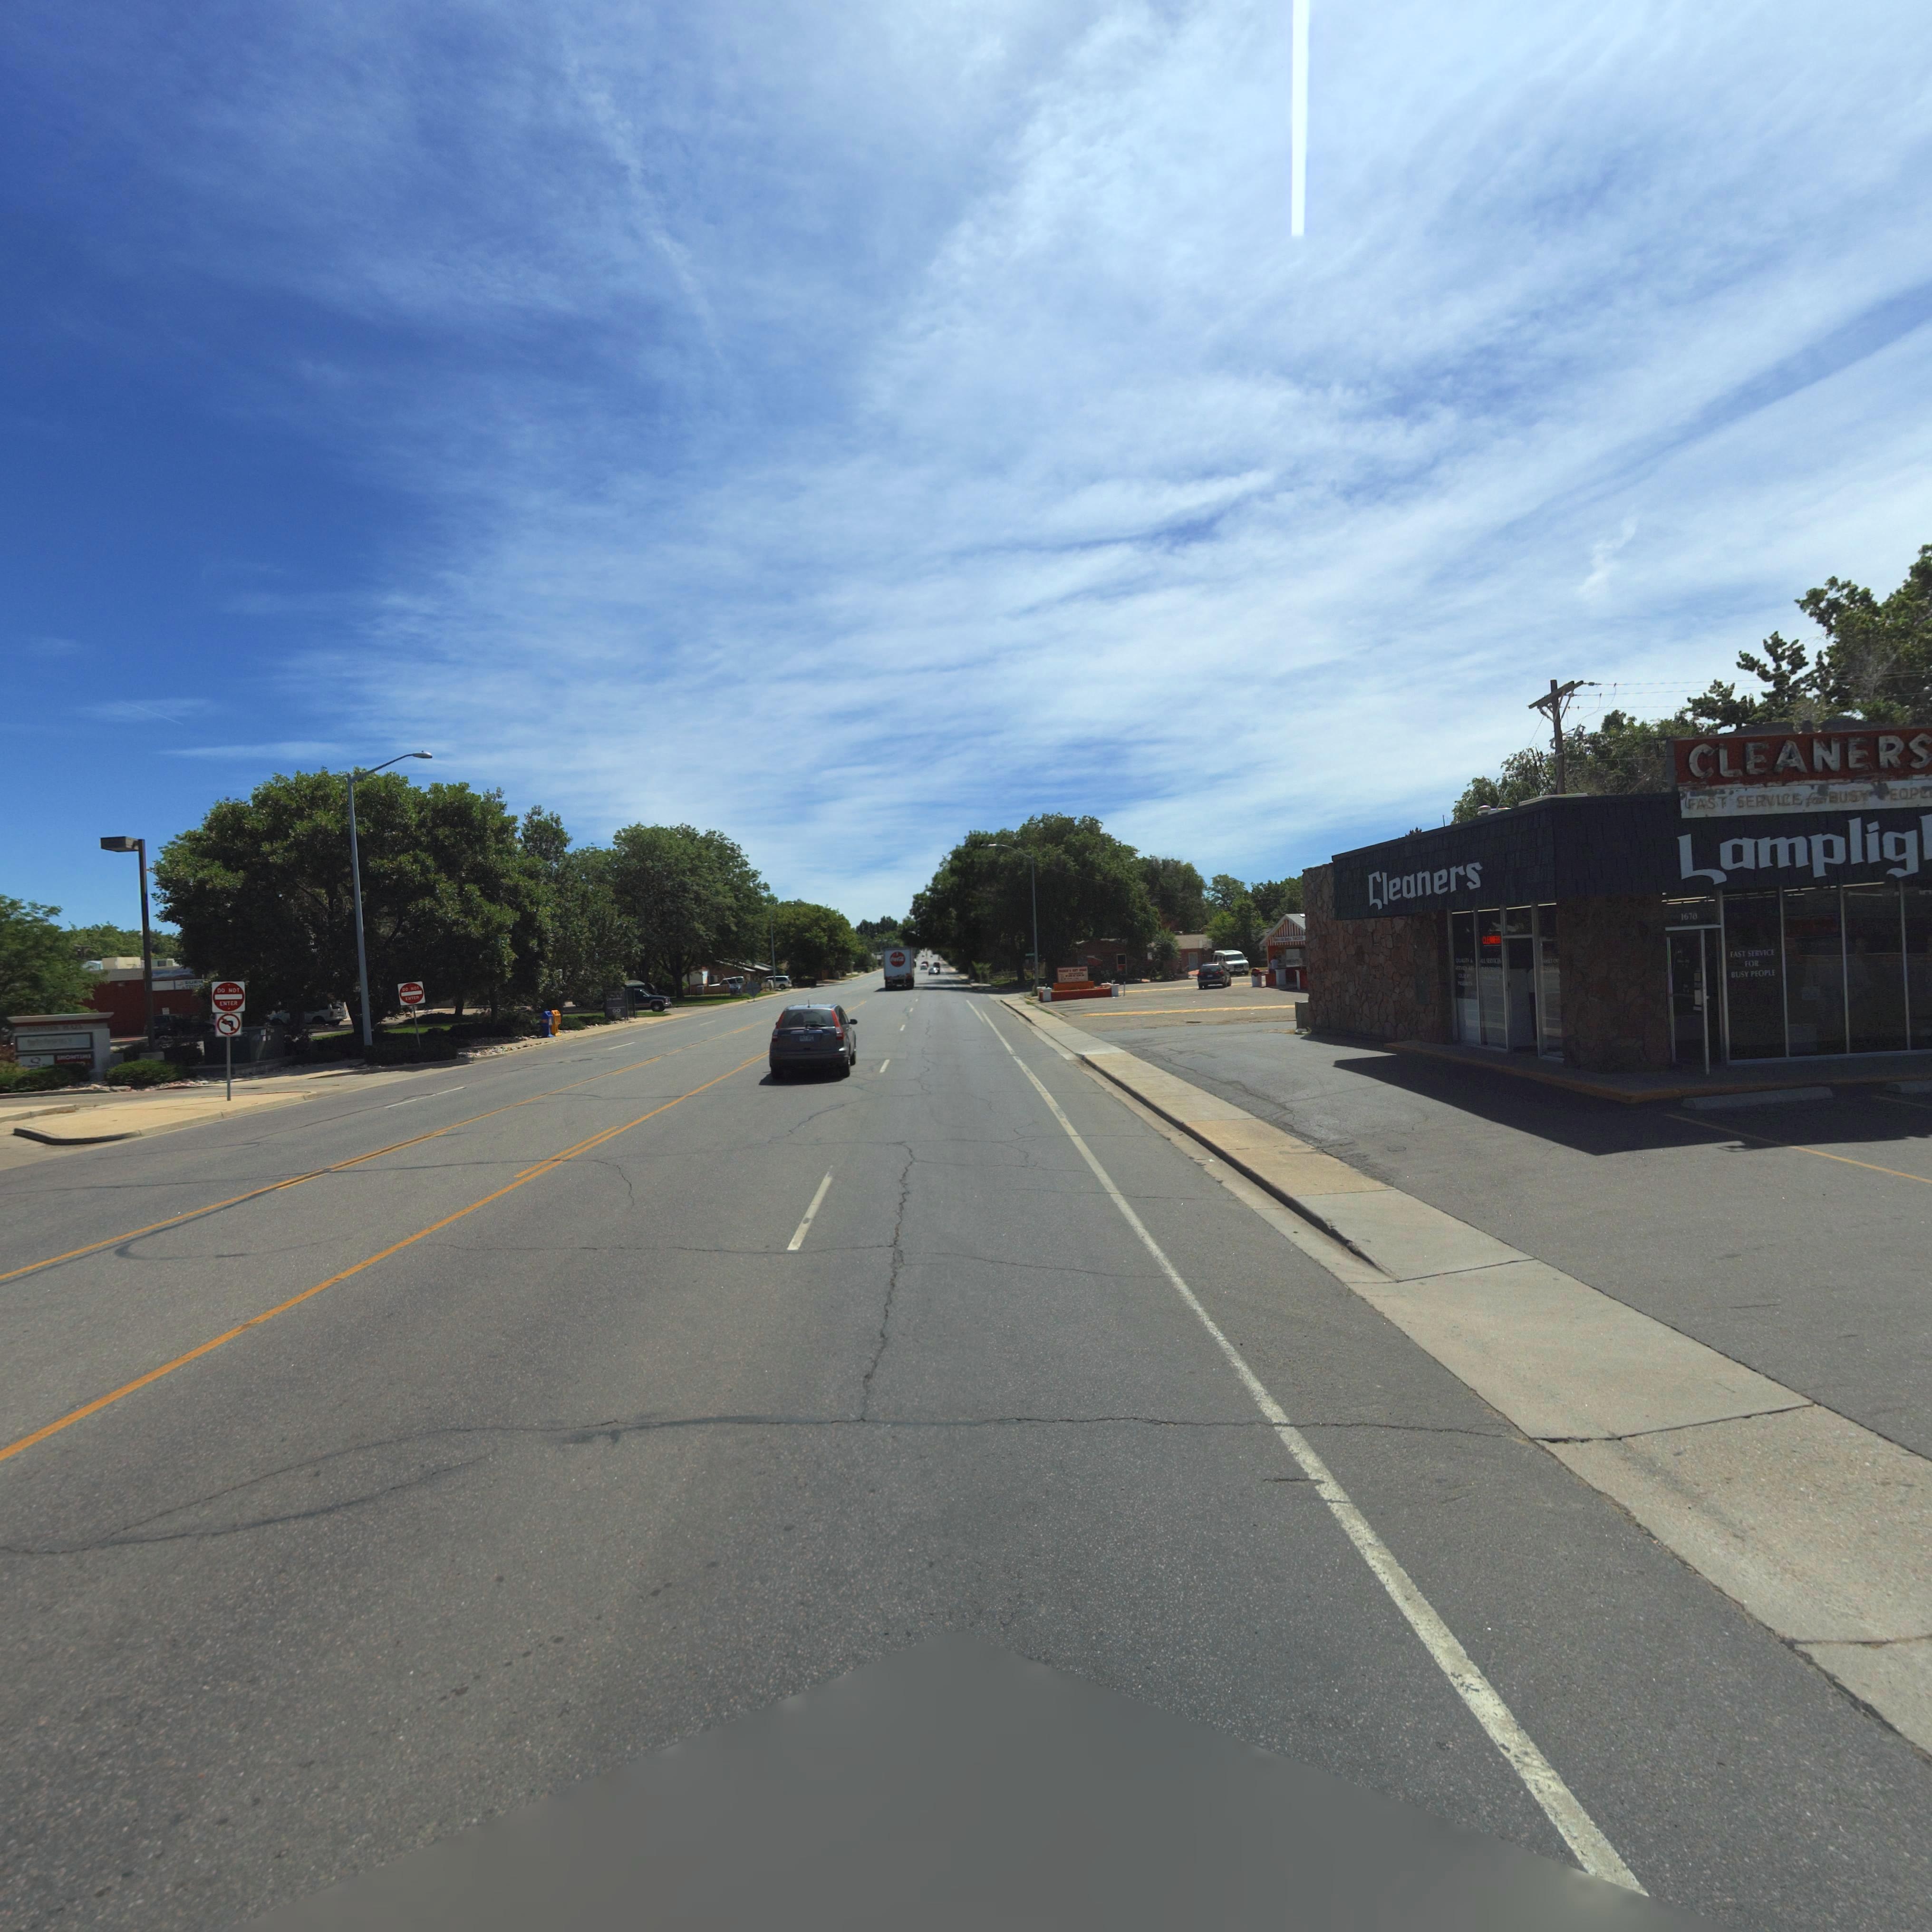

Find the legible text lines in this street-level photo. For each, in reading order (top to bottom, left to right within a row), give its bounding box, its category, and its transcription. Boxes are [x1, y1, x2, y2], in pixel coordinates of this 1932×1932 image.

[1675, 816, 1919, 885] BusinessName: Lamplig
[1681, 912, 1698, 921] StreetNumber: 1678
[1292, 935, 1303, 940] BusinessName: TACOS
[1058, 967, 1087, 973] BusinessName: ****O* **T ***S
[1064, 974, 1084, 977] BusinessName: TACOS
[29, 1056, 41, 1064] BusinessName: Q